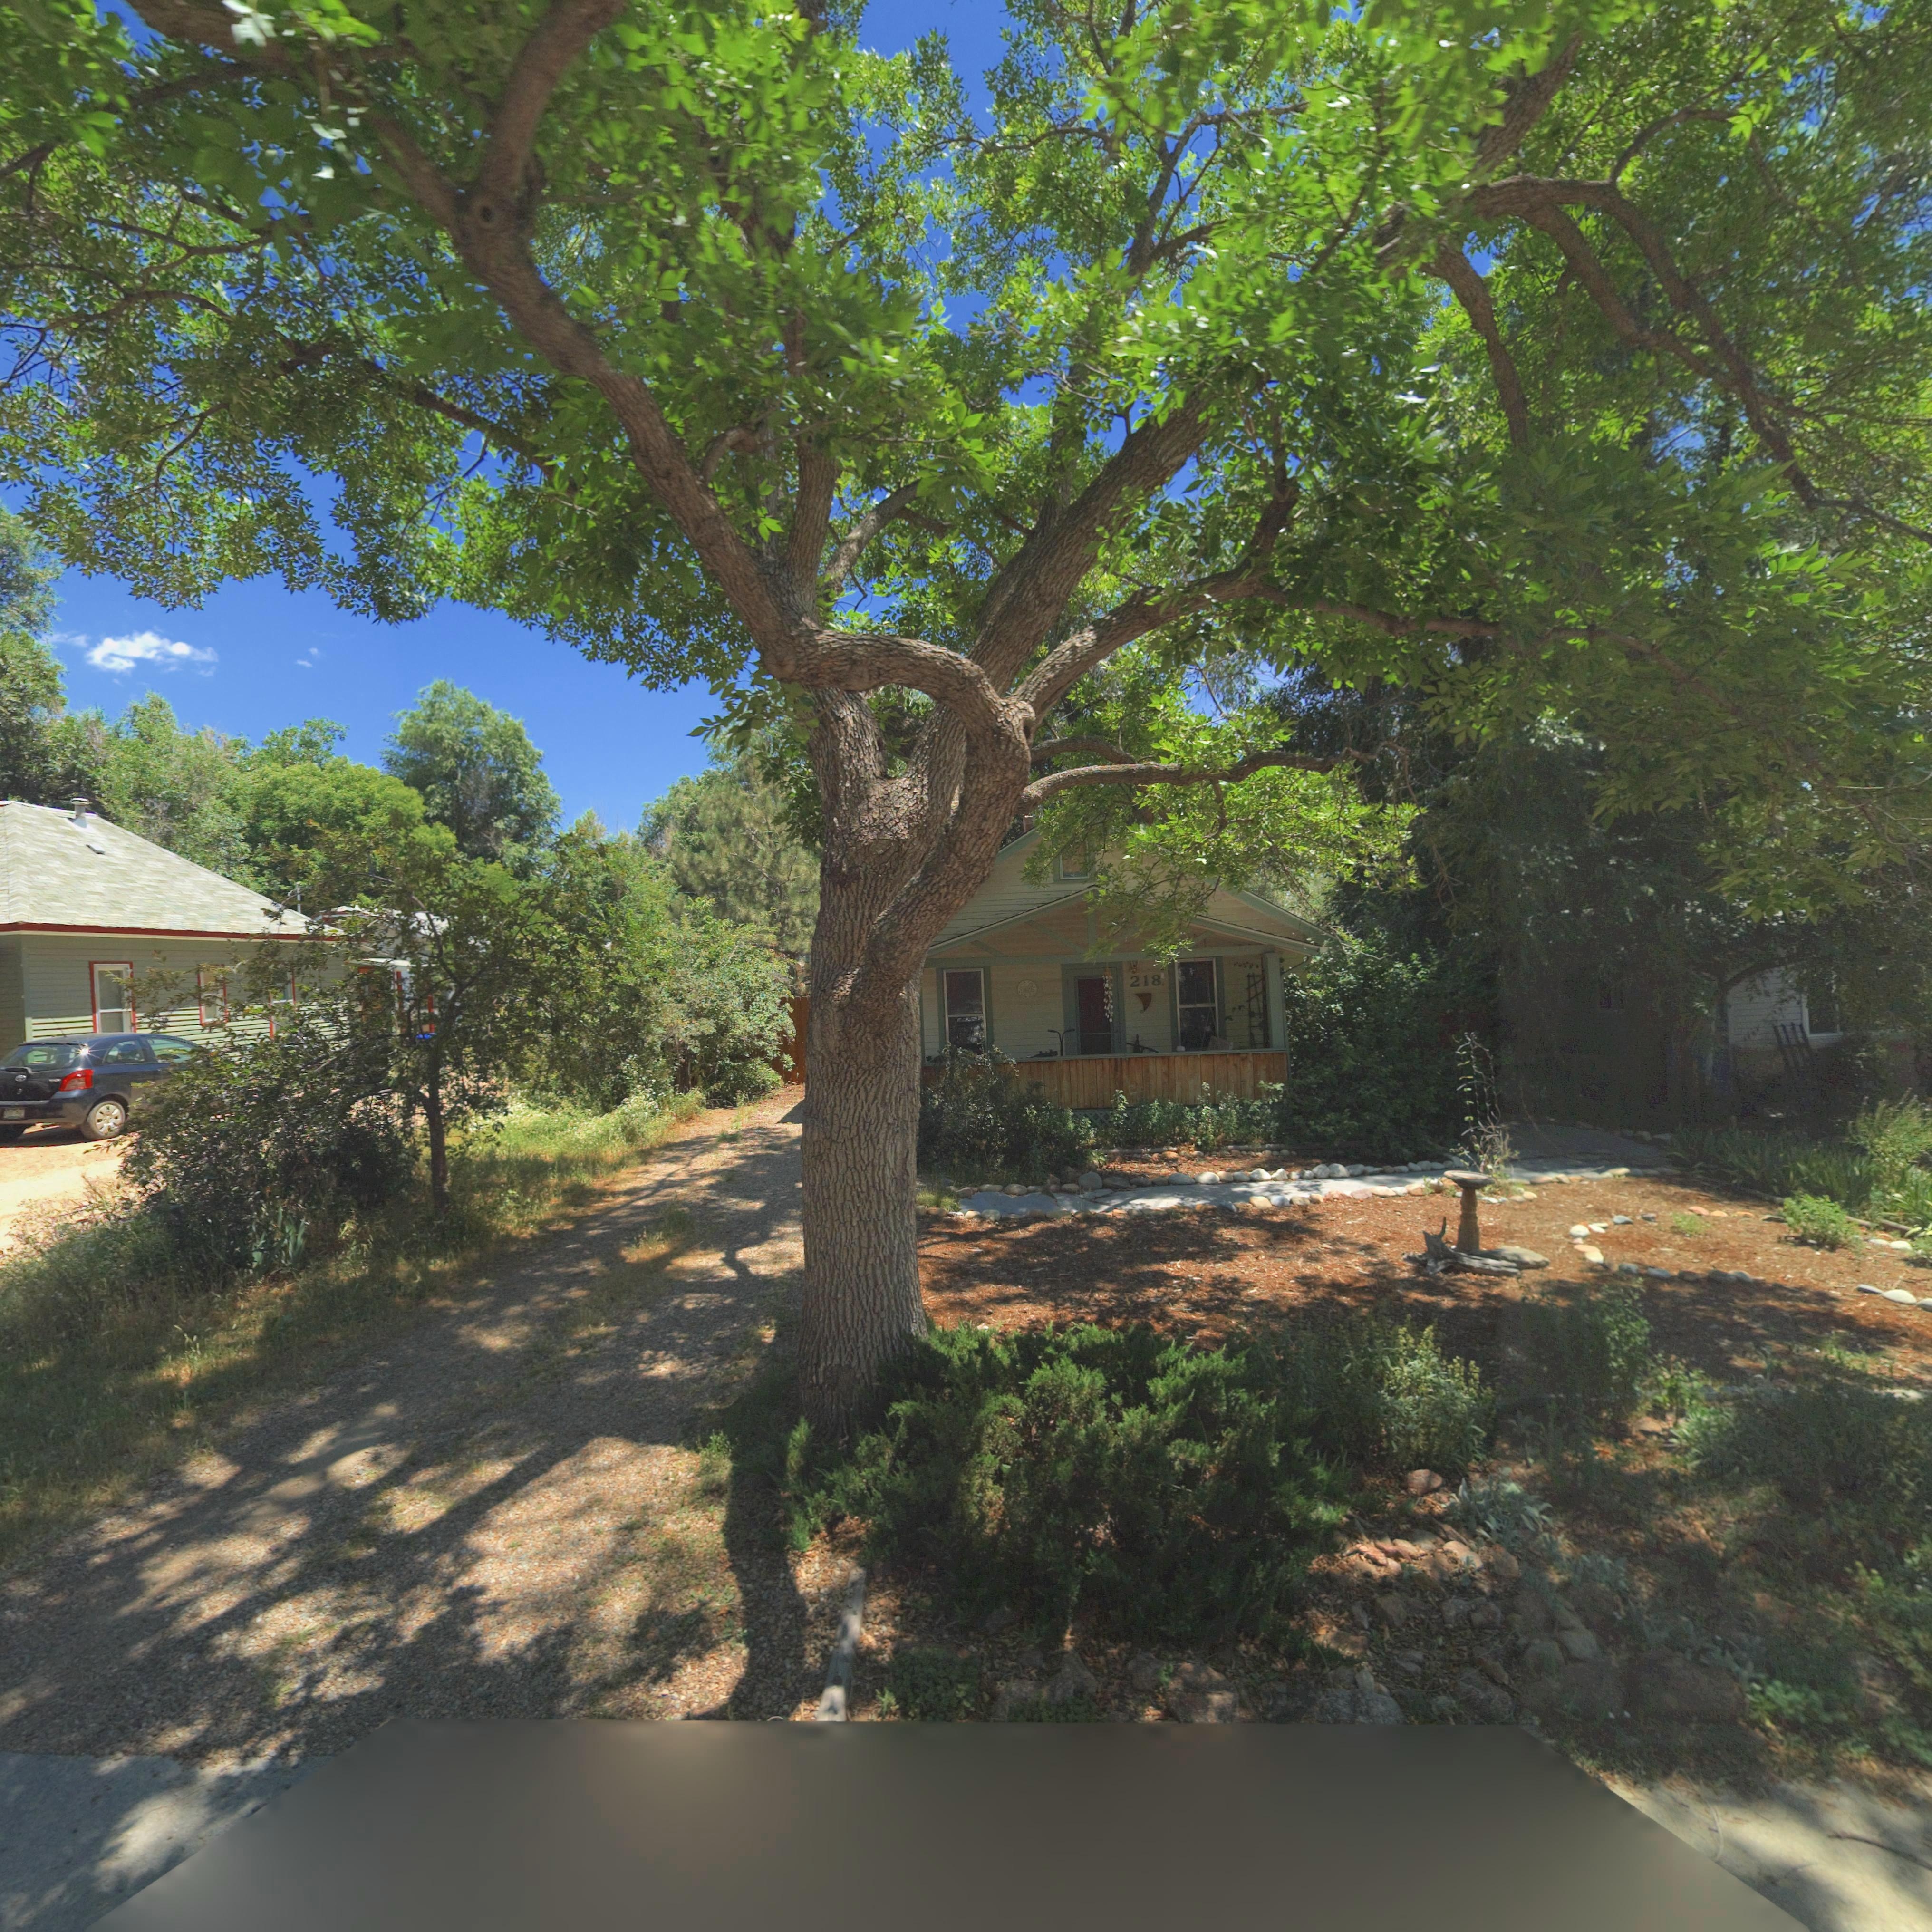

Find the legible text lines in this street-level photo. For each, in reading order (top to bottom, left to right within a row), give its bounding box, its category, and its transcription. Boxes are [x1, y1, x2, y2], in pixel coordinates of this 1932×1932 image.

[1130, 974, 1161, 987] StreetNumber: 218